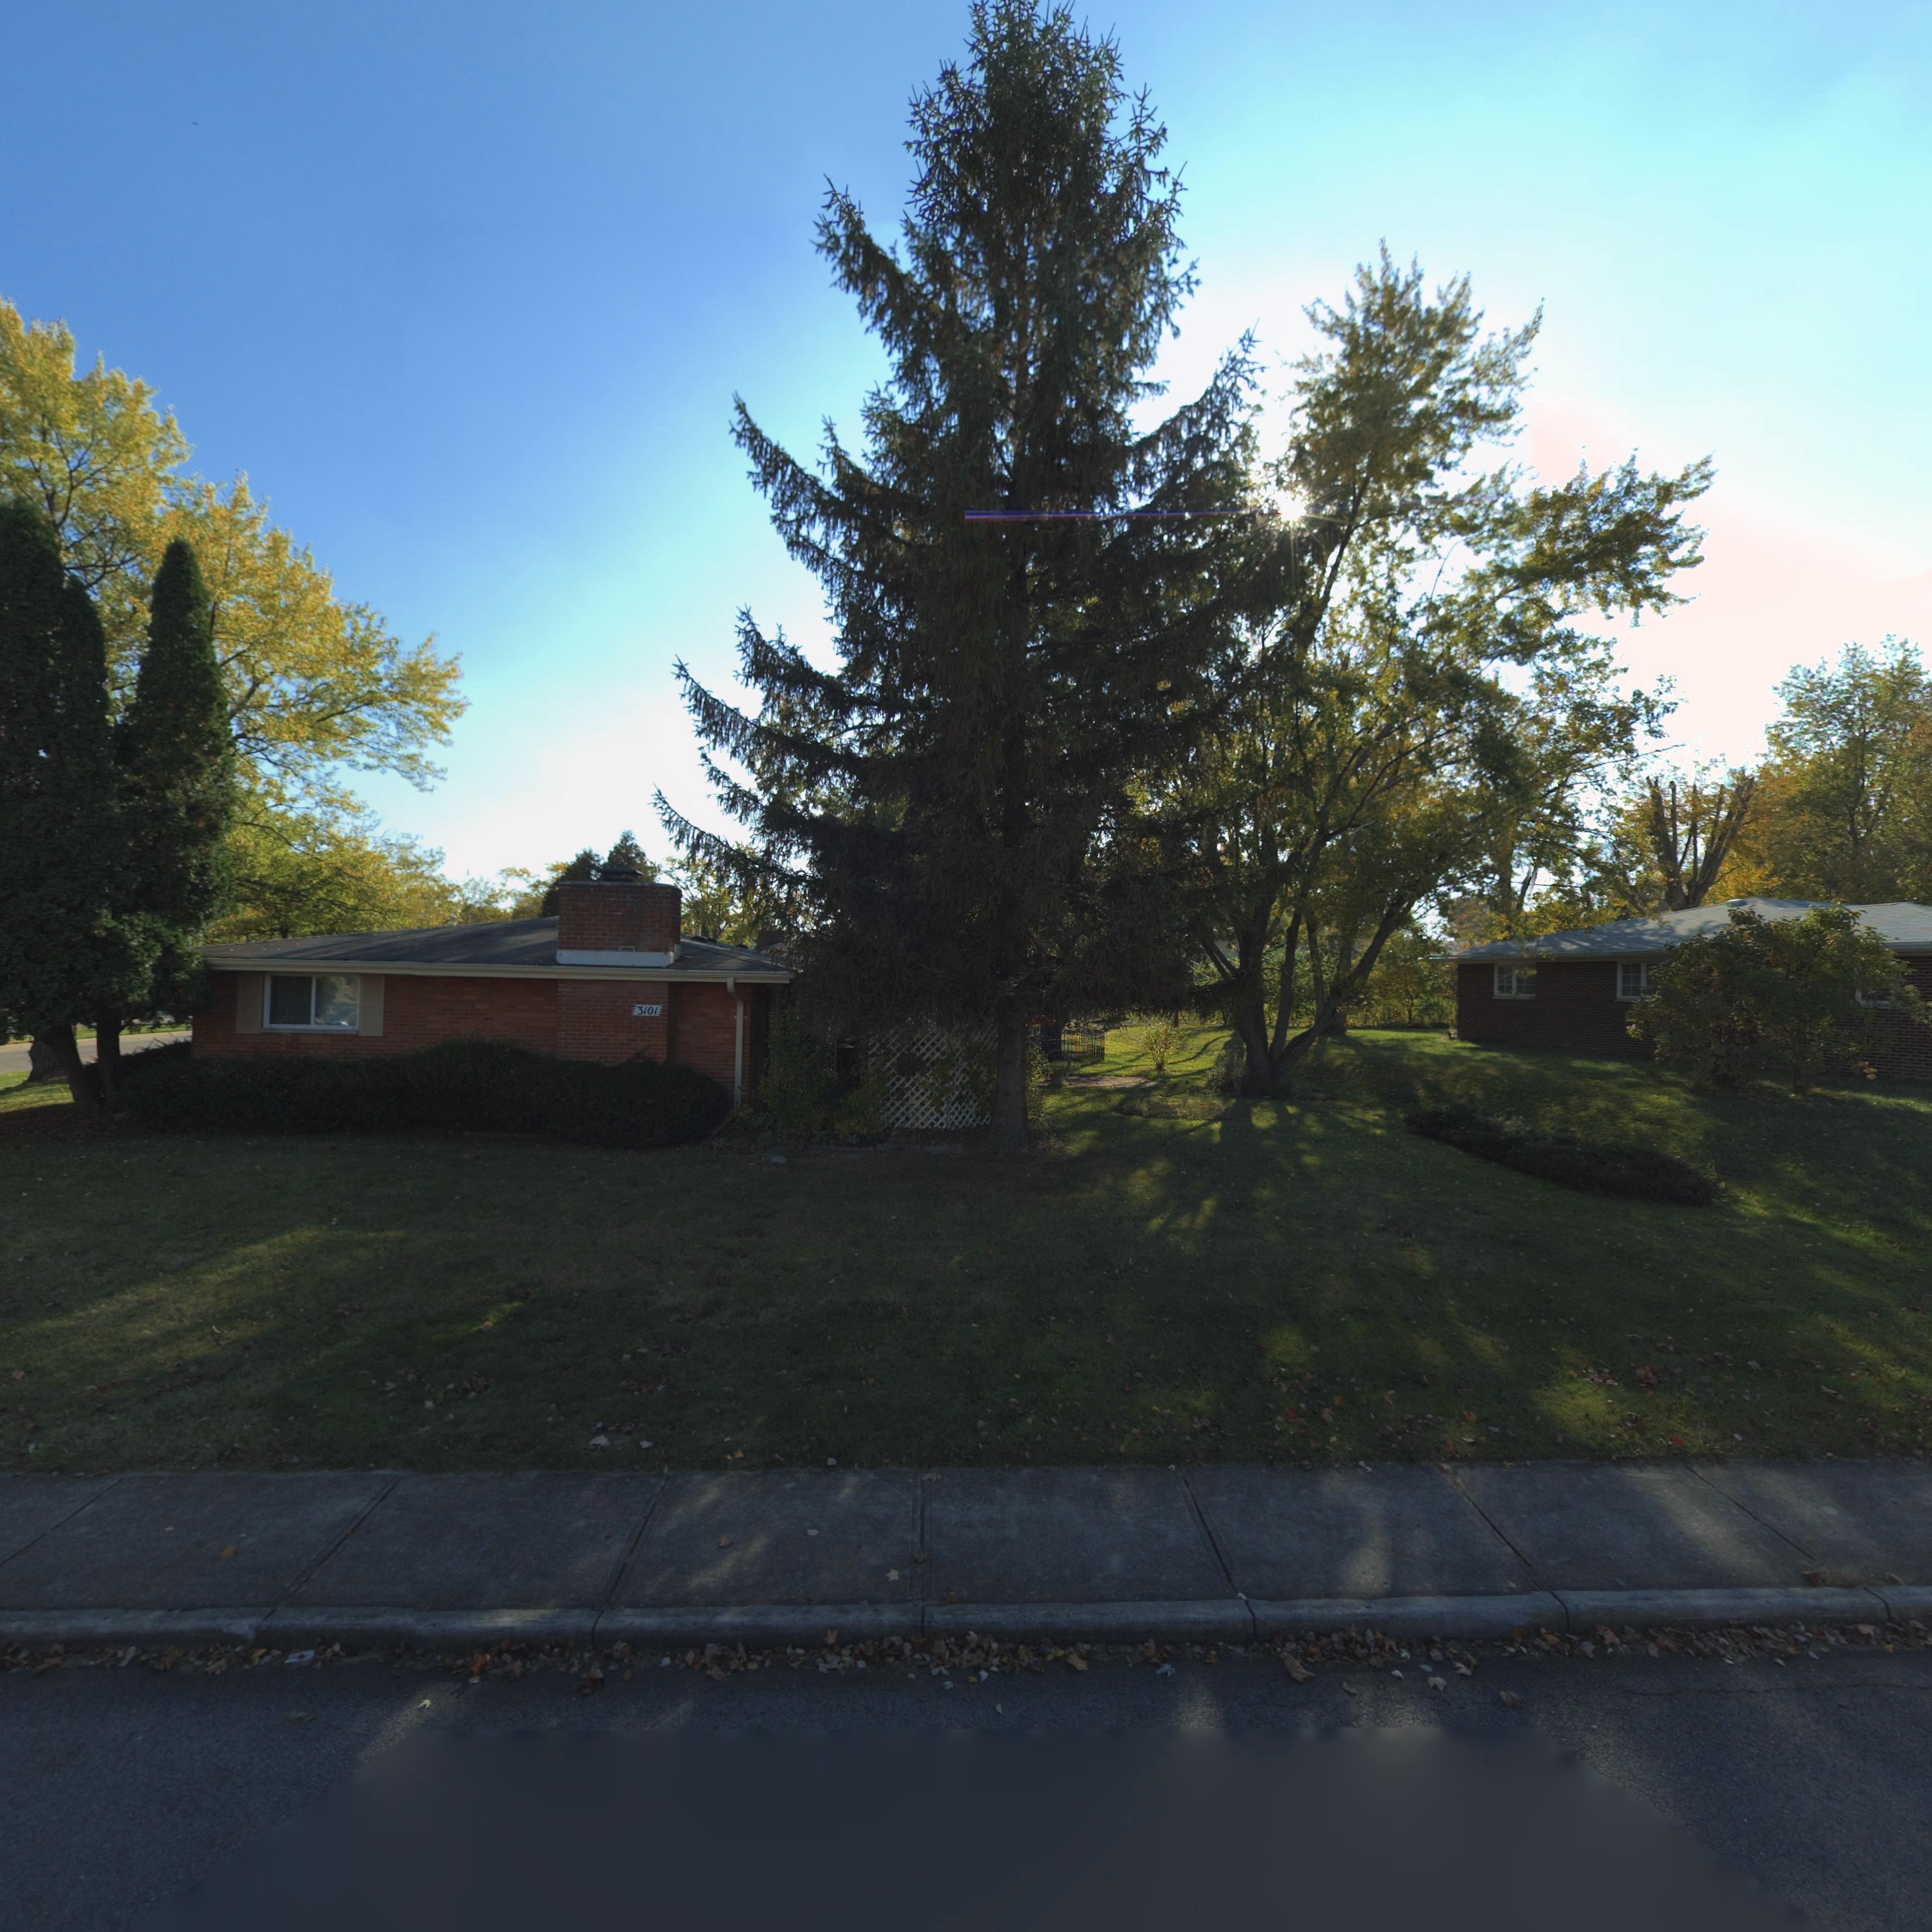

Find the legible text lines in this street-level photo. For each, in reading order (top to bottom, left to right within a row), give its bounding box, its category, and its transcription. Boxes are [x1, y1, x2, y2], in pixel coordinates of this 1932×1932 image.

[636, 1005, 660, 1016] StreetNumber: 3101